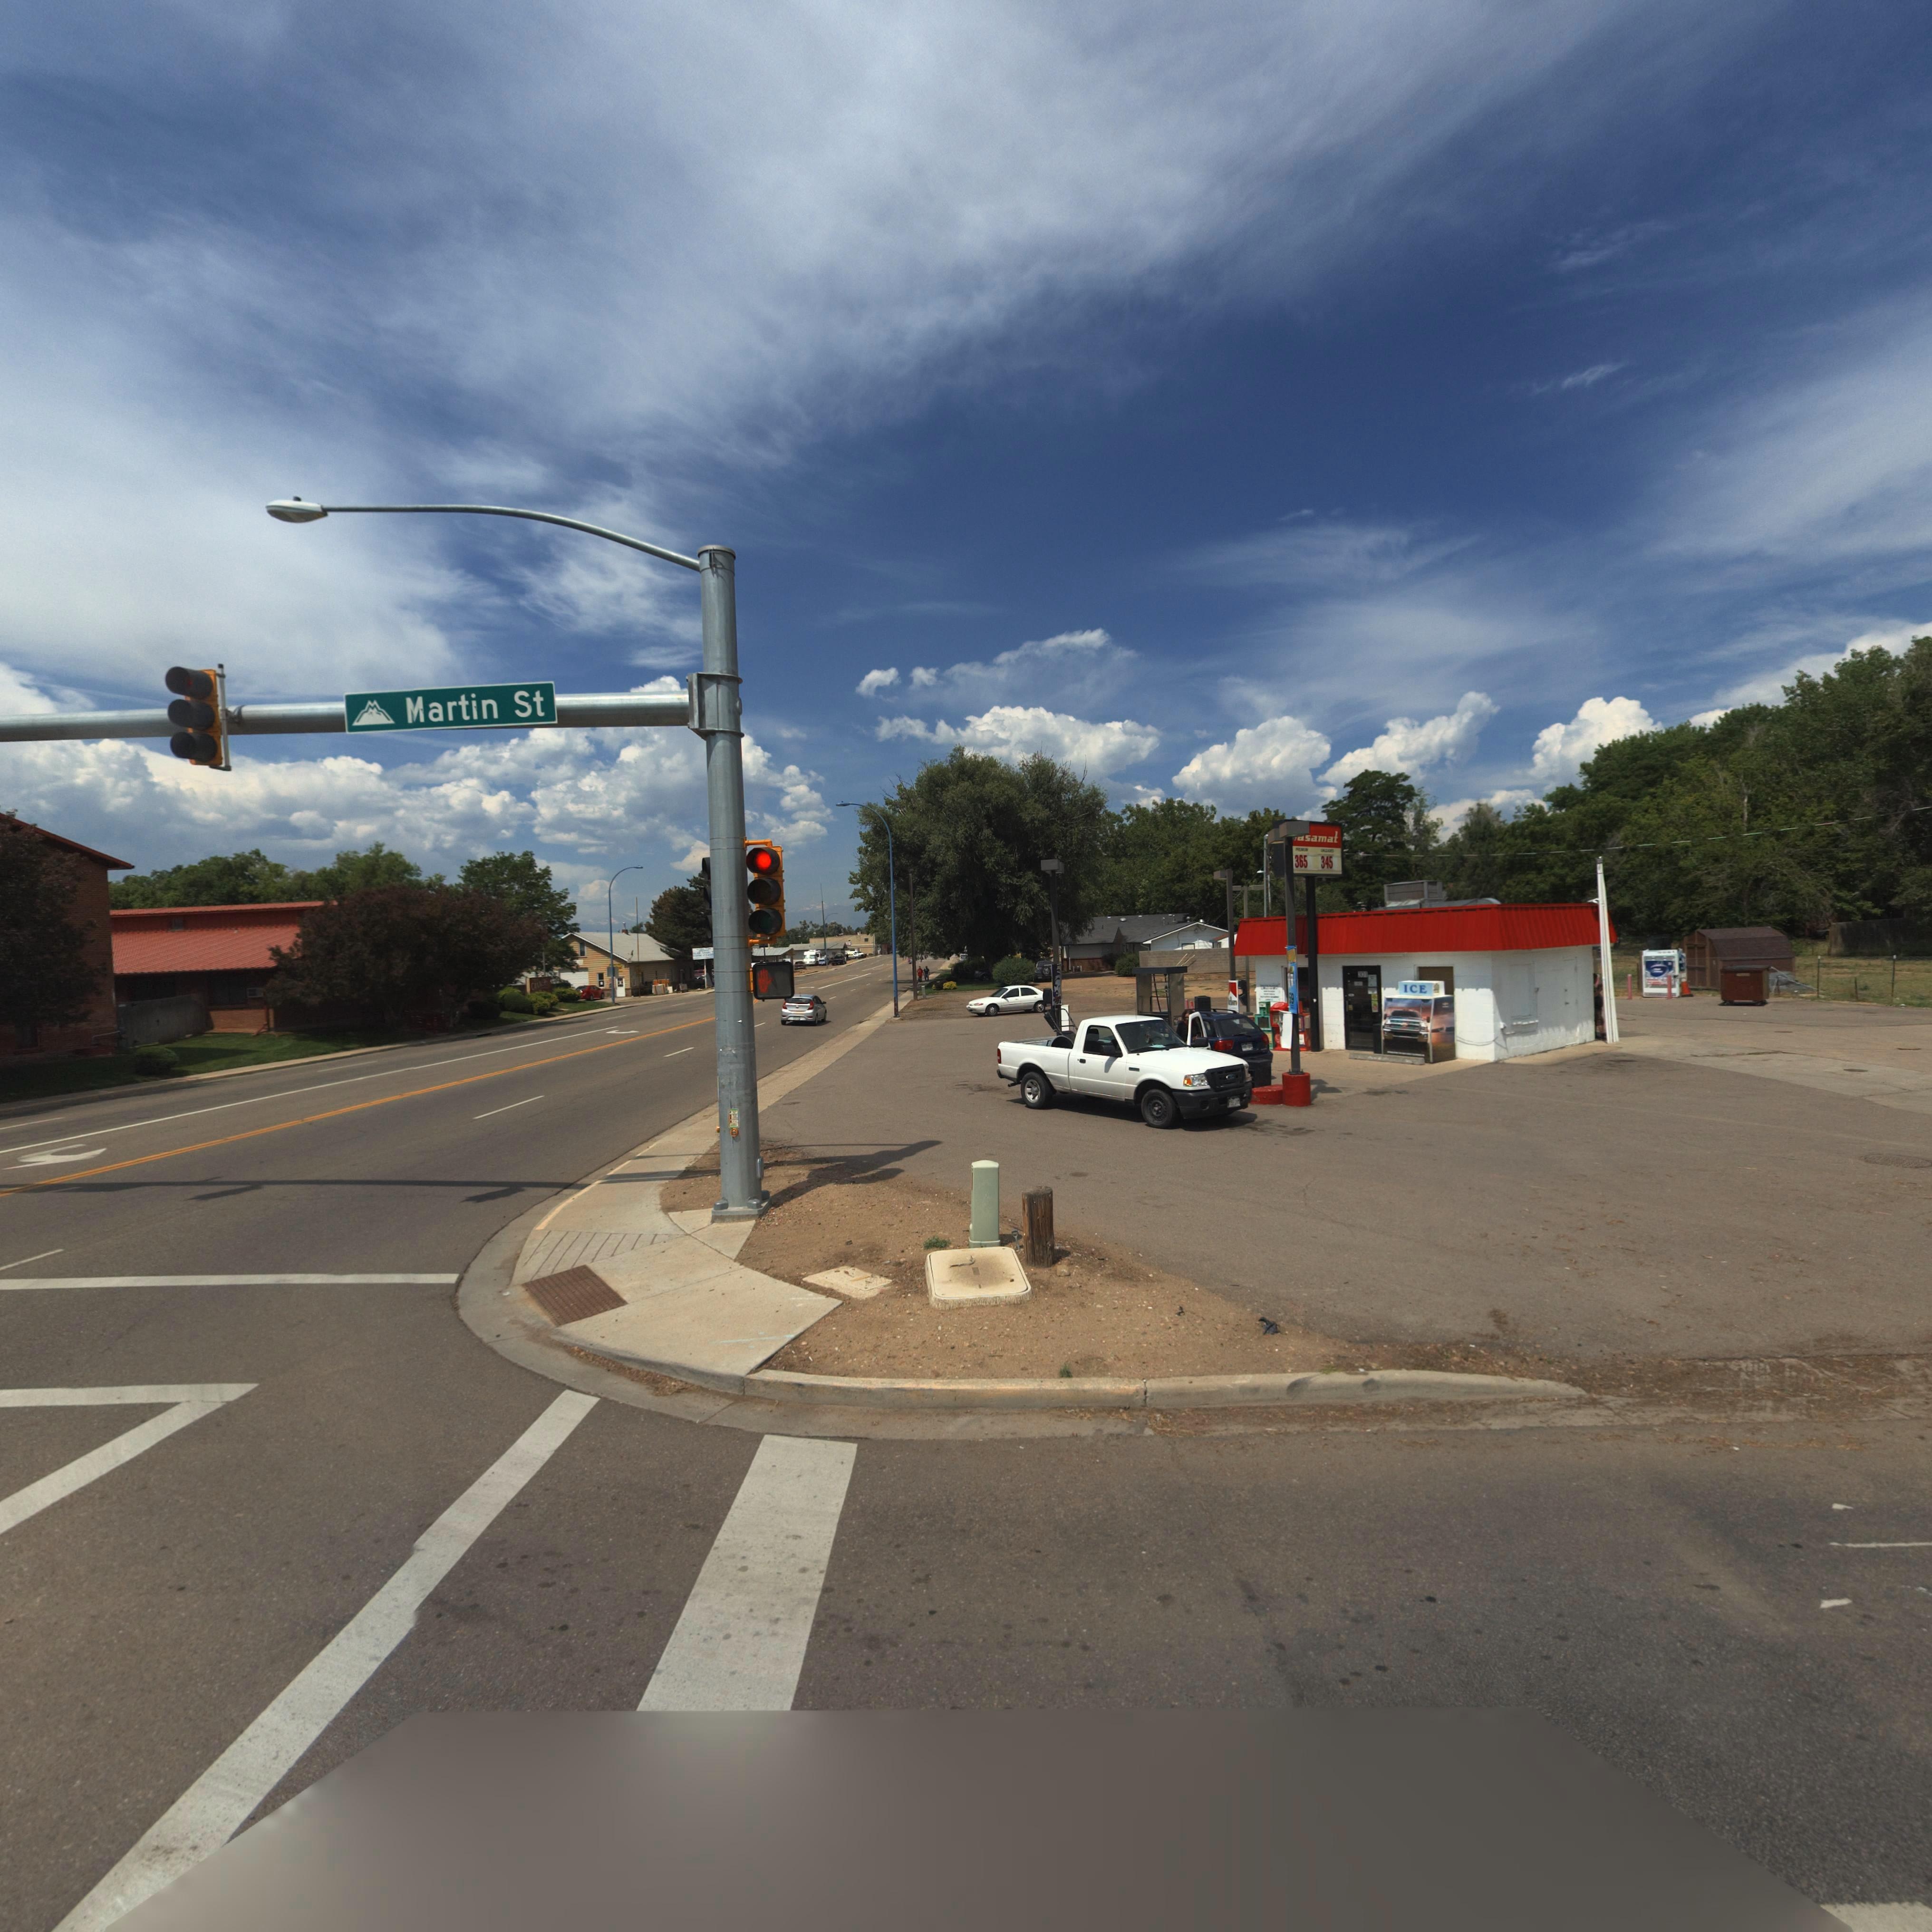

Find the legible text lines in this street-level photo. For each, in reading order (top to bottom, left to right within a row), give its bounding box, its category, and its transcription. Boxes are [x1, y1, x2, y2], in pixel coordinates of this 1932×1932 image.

[404, 688, 547, 724] StreetName: Martin St
[1296, 830, 1338, 843] BusinessName: *samat
[1358, 971, 1367, 977] StreetNumber: 301